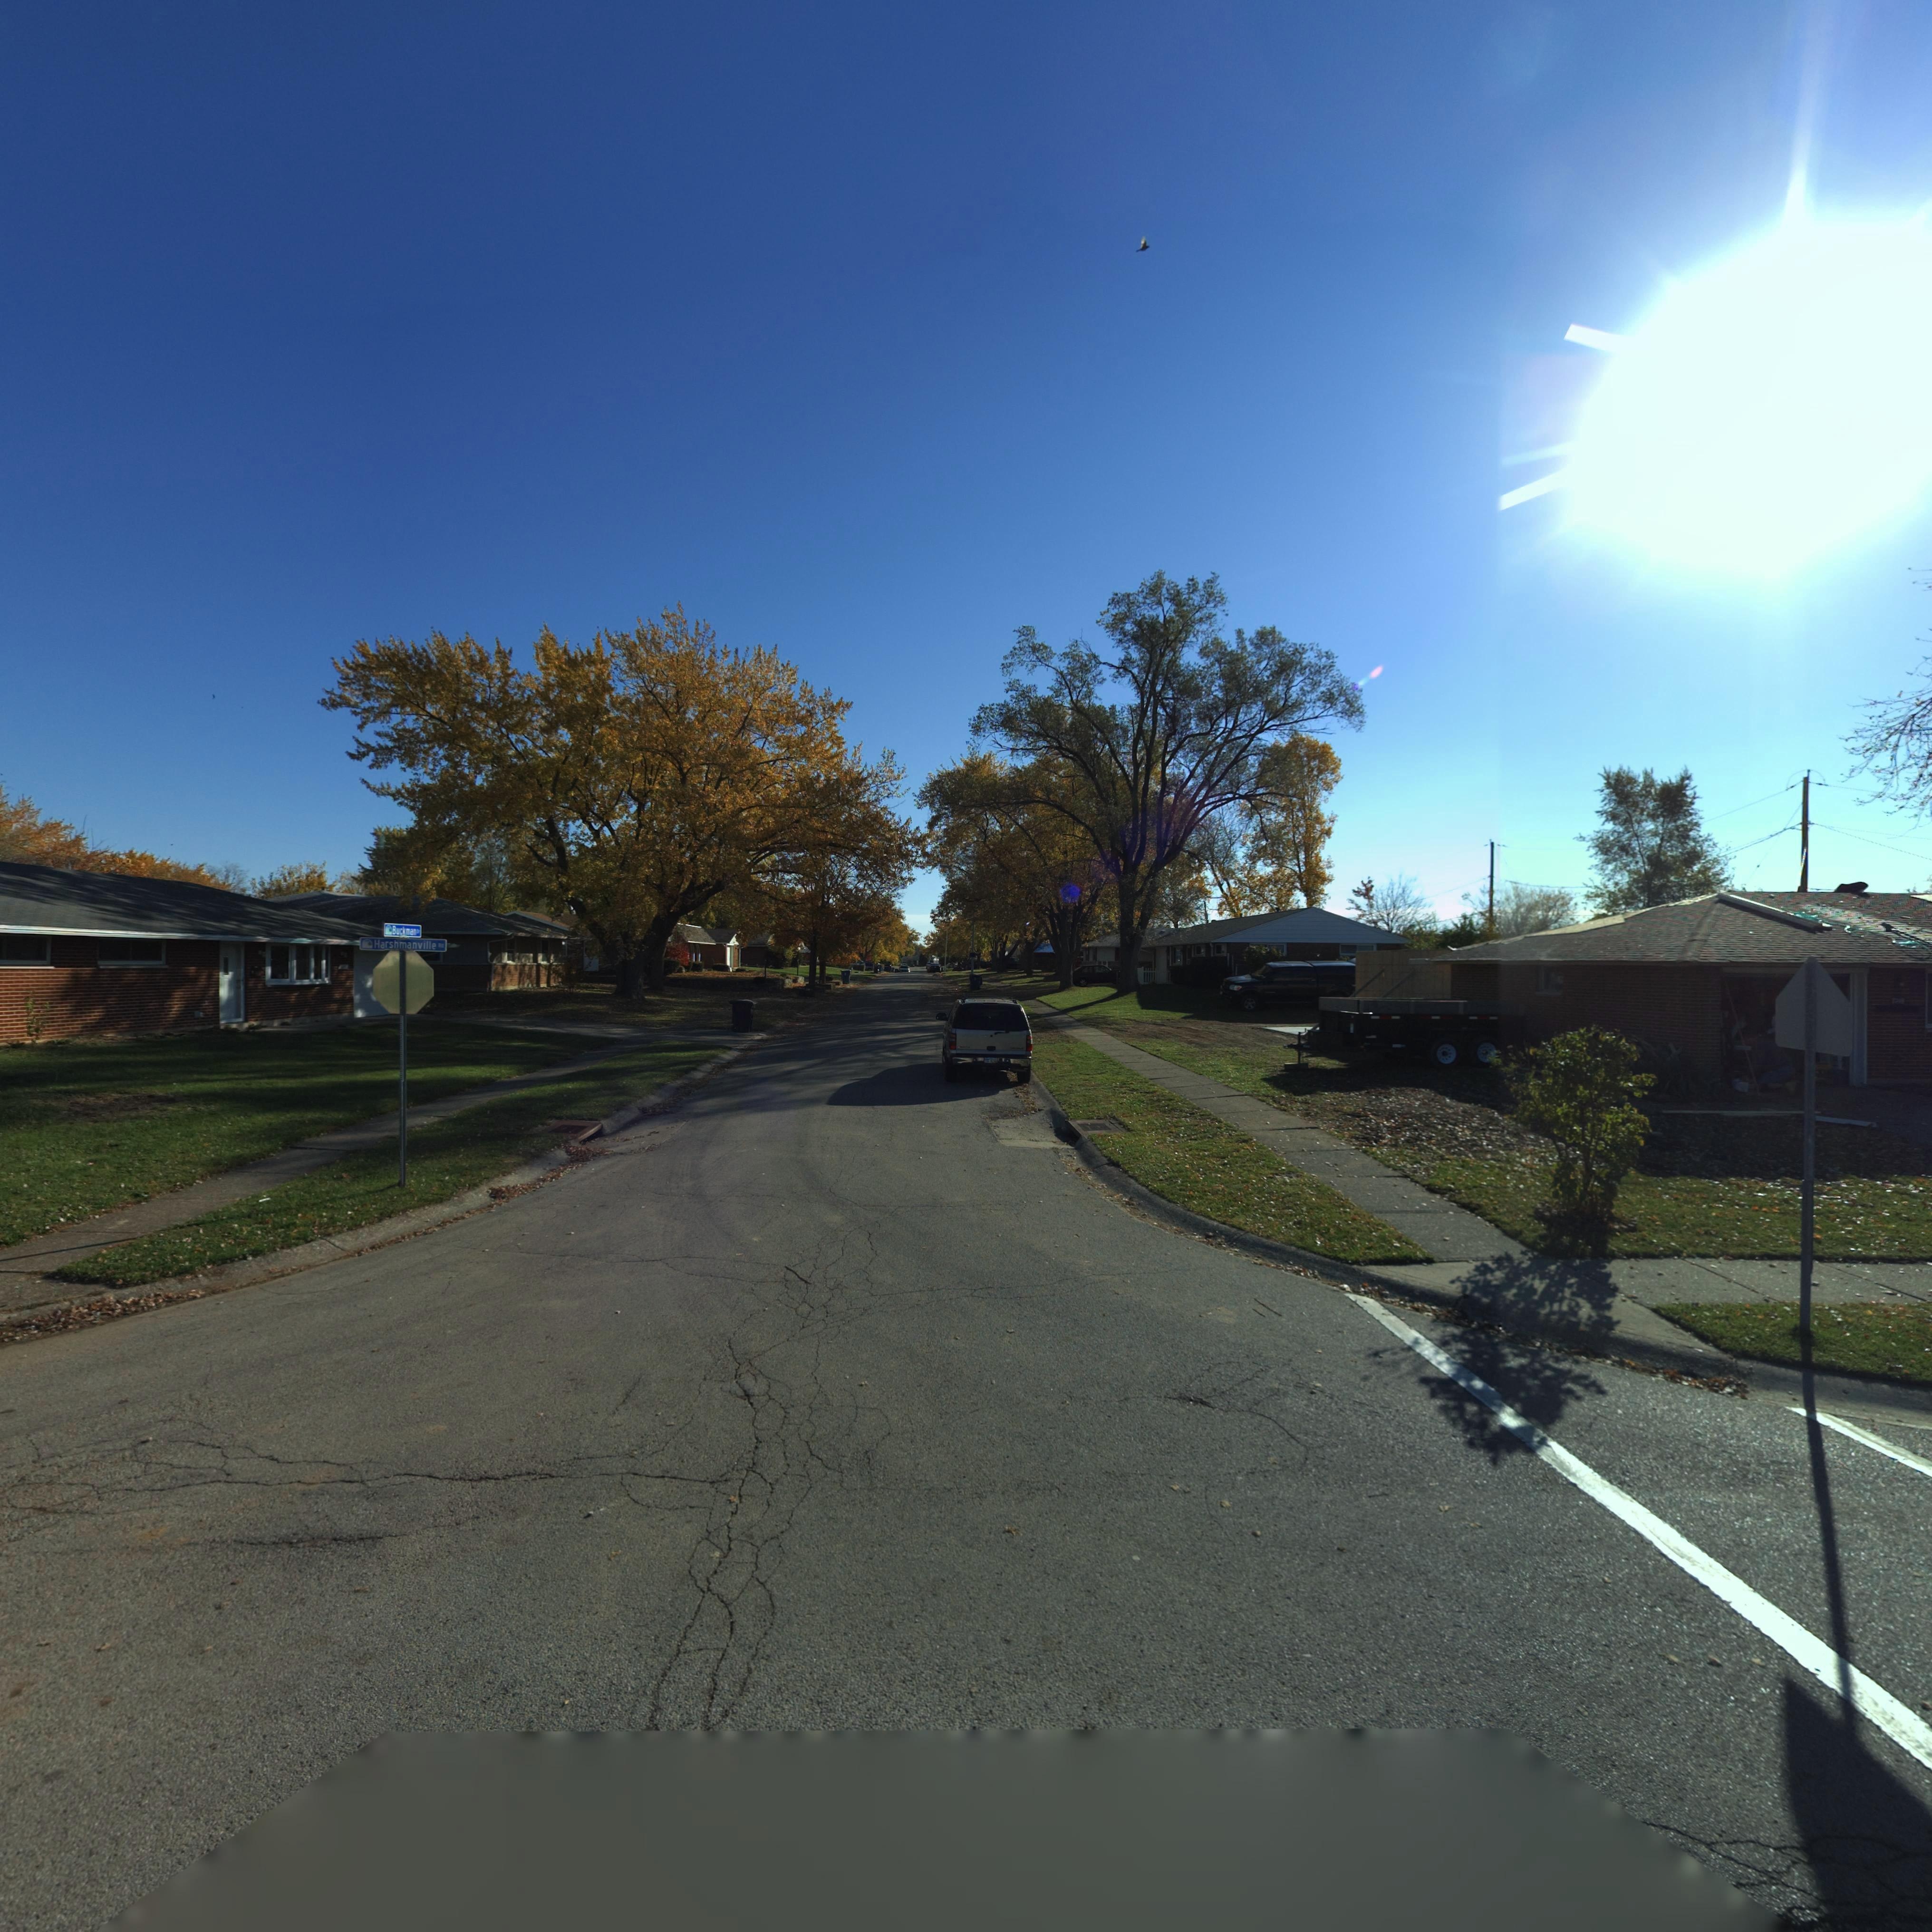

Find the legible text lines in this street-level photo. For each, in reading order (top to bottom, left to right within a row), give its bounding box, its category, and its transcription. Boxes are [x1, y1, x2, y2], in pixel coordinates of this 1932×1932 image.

[1891, 997, 1905, 1005] StreetNumber: 7***